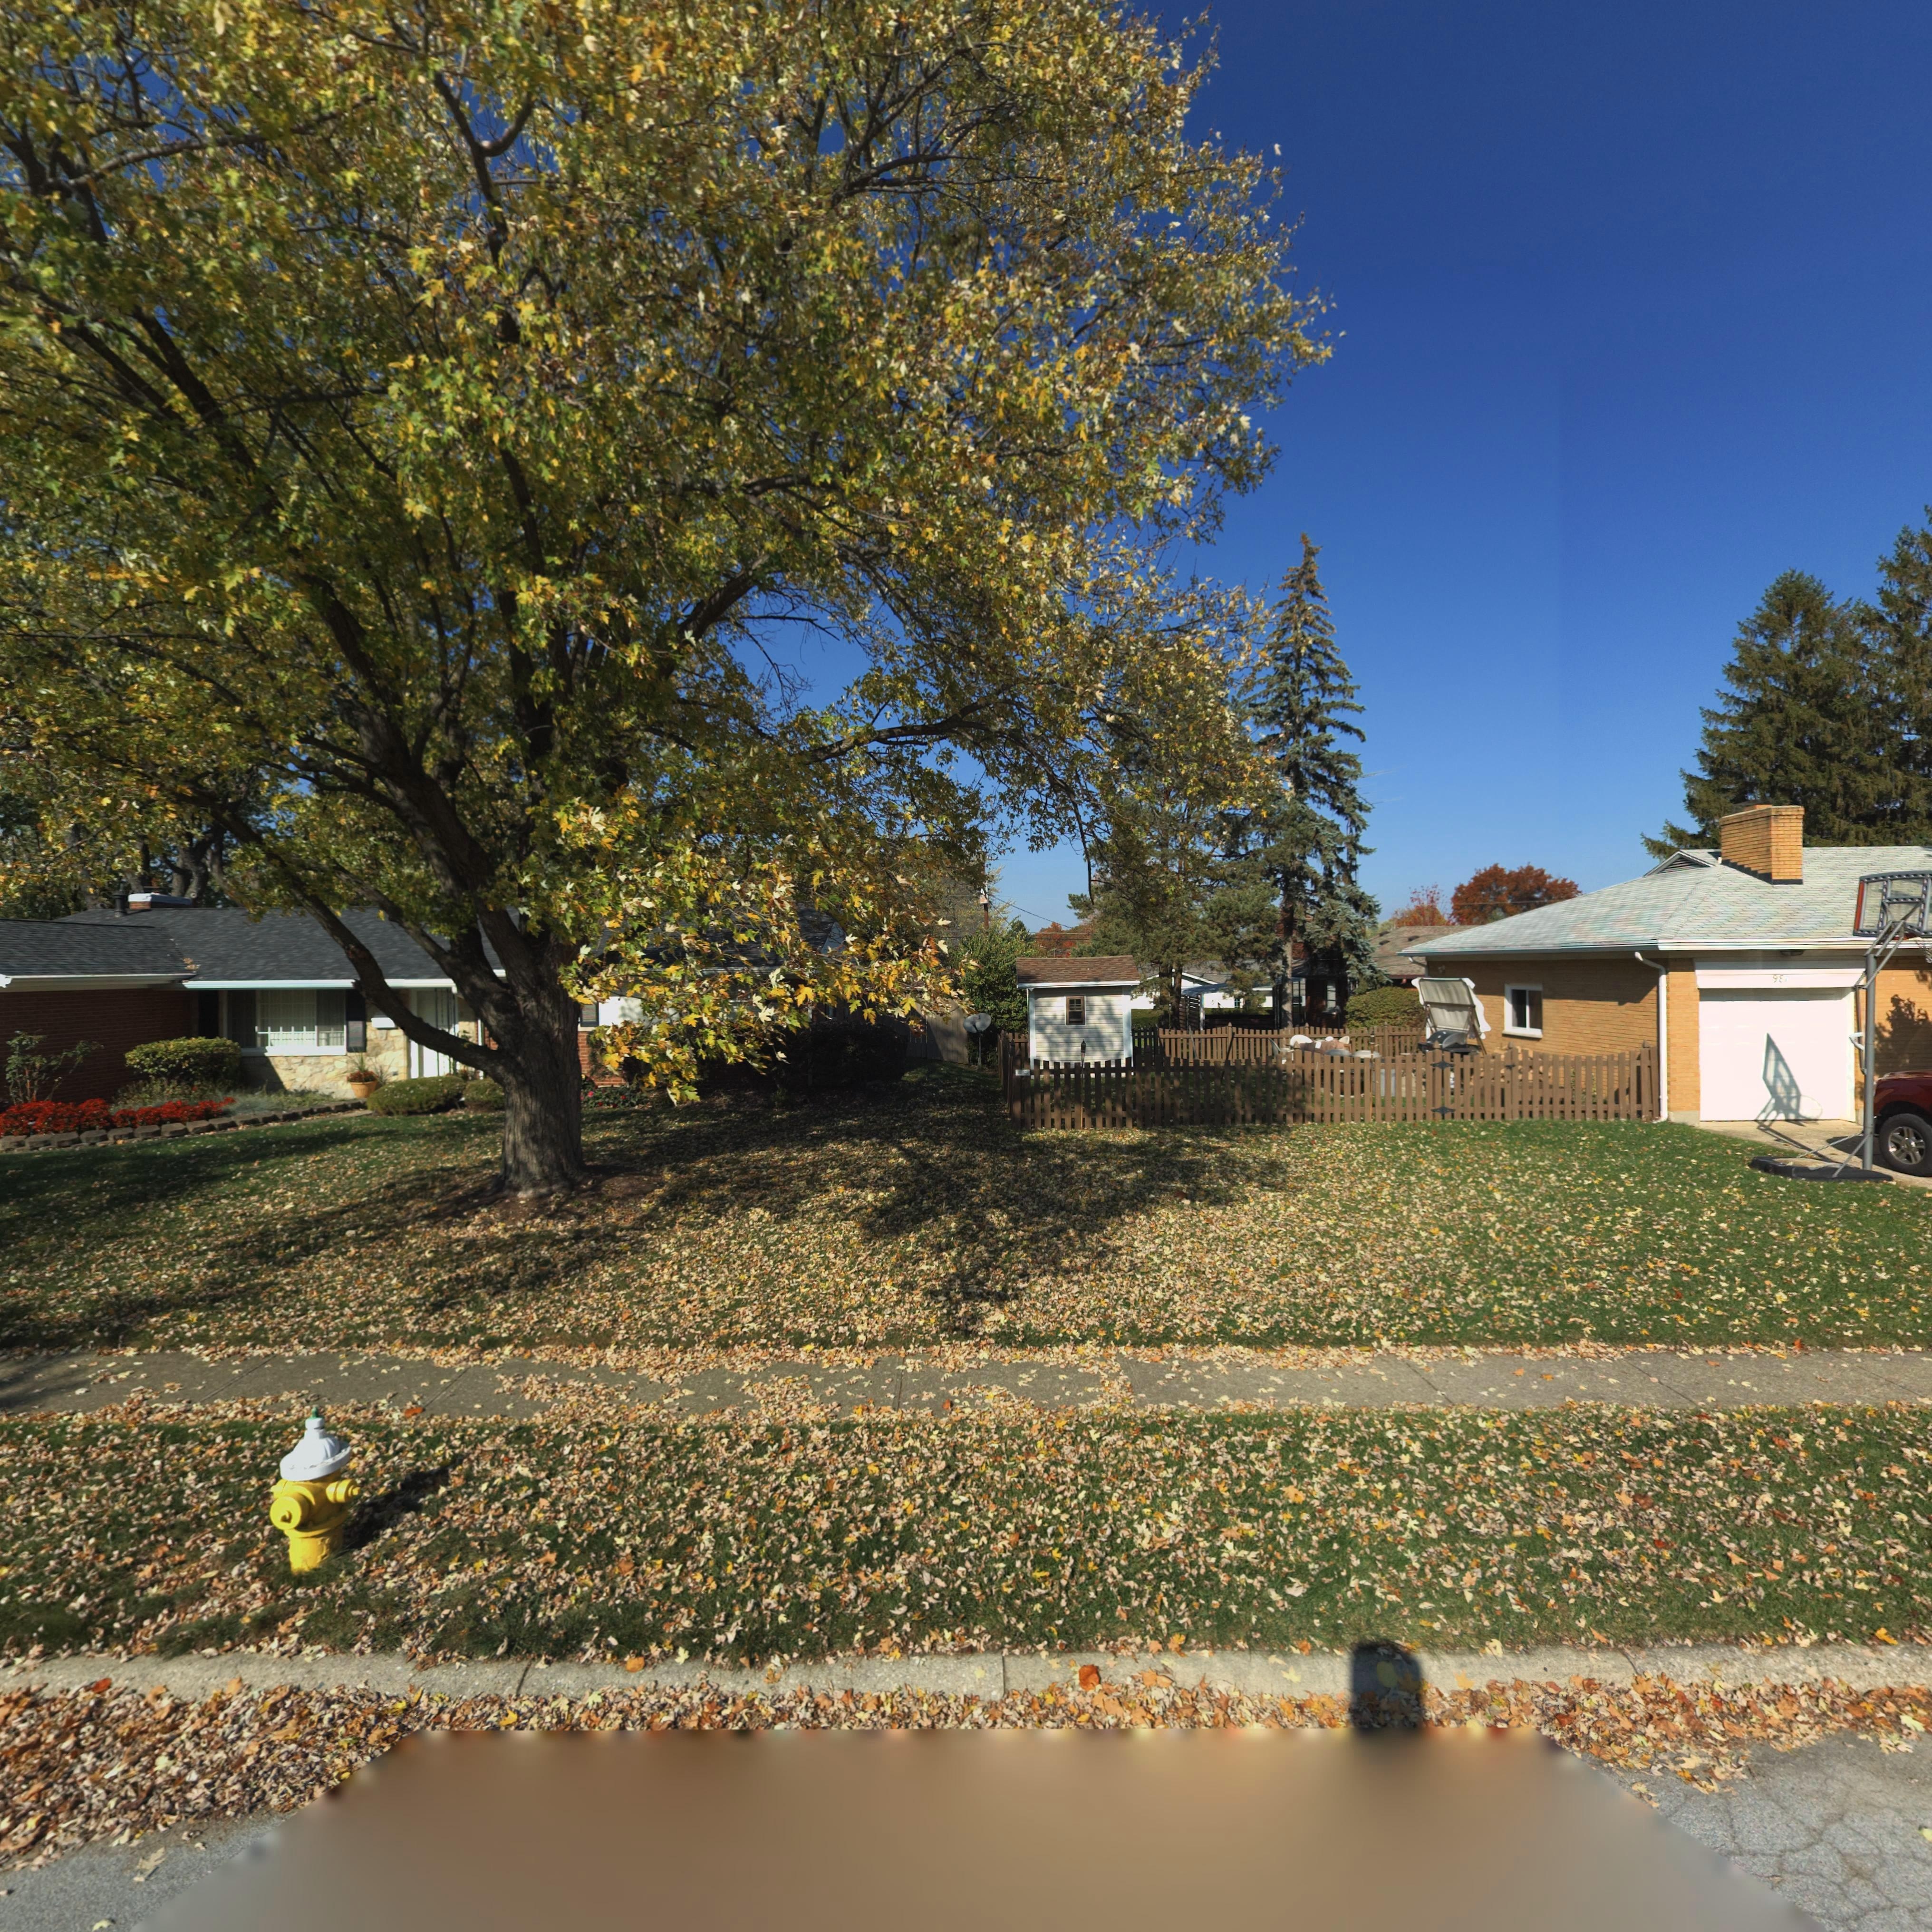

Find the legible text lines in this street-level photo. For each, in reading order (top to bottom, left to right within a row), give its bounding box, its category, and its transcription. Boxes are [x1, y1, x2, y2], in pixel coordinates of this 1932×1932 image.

[1771, 974, 1779, 984] StreetNumber: 9